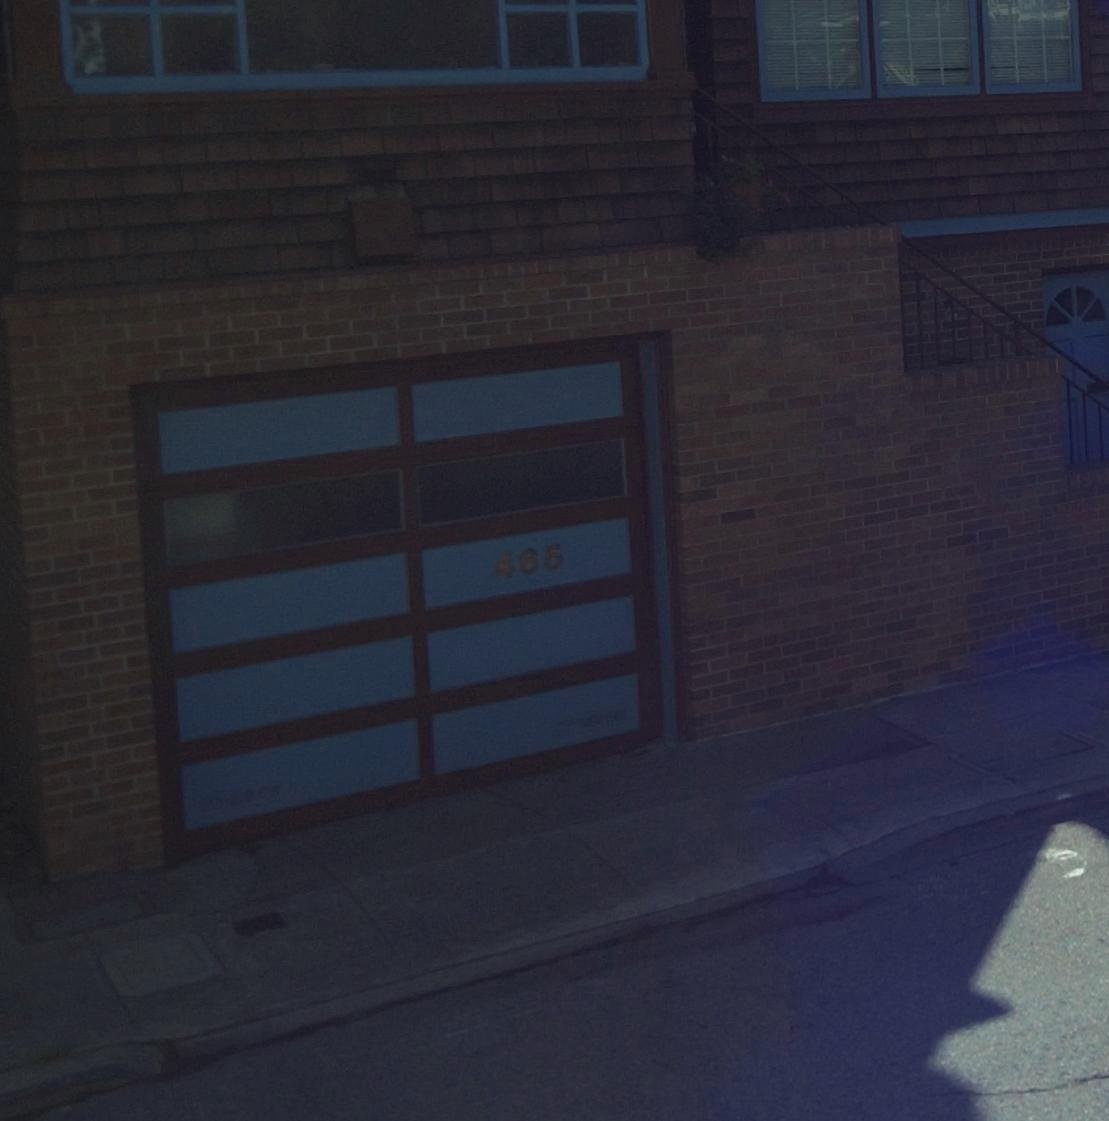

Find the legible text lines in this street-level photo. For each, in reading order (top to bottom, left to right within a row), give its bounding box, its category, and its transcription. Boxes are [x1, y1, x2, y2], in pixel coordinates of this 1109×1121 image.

[487, 540, 567, 583] StreetNumber: 465